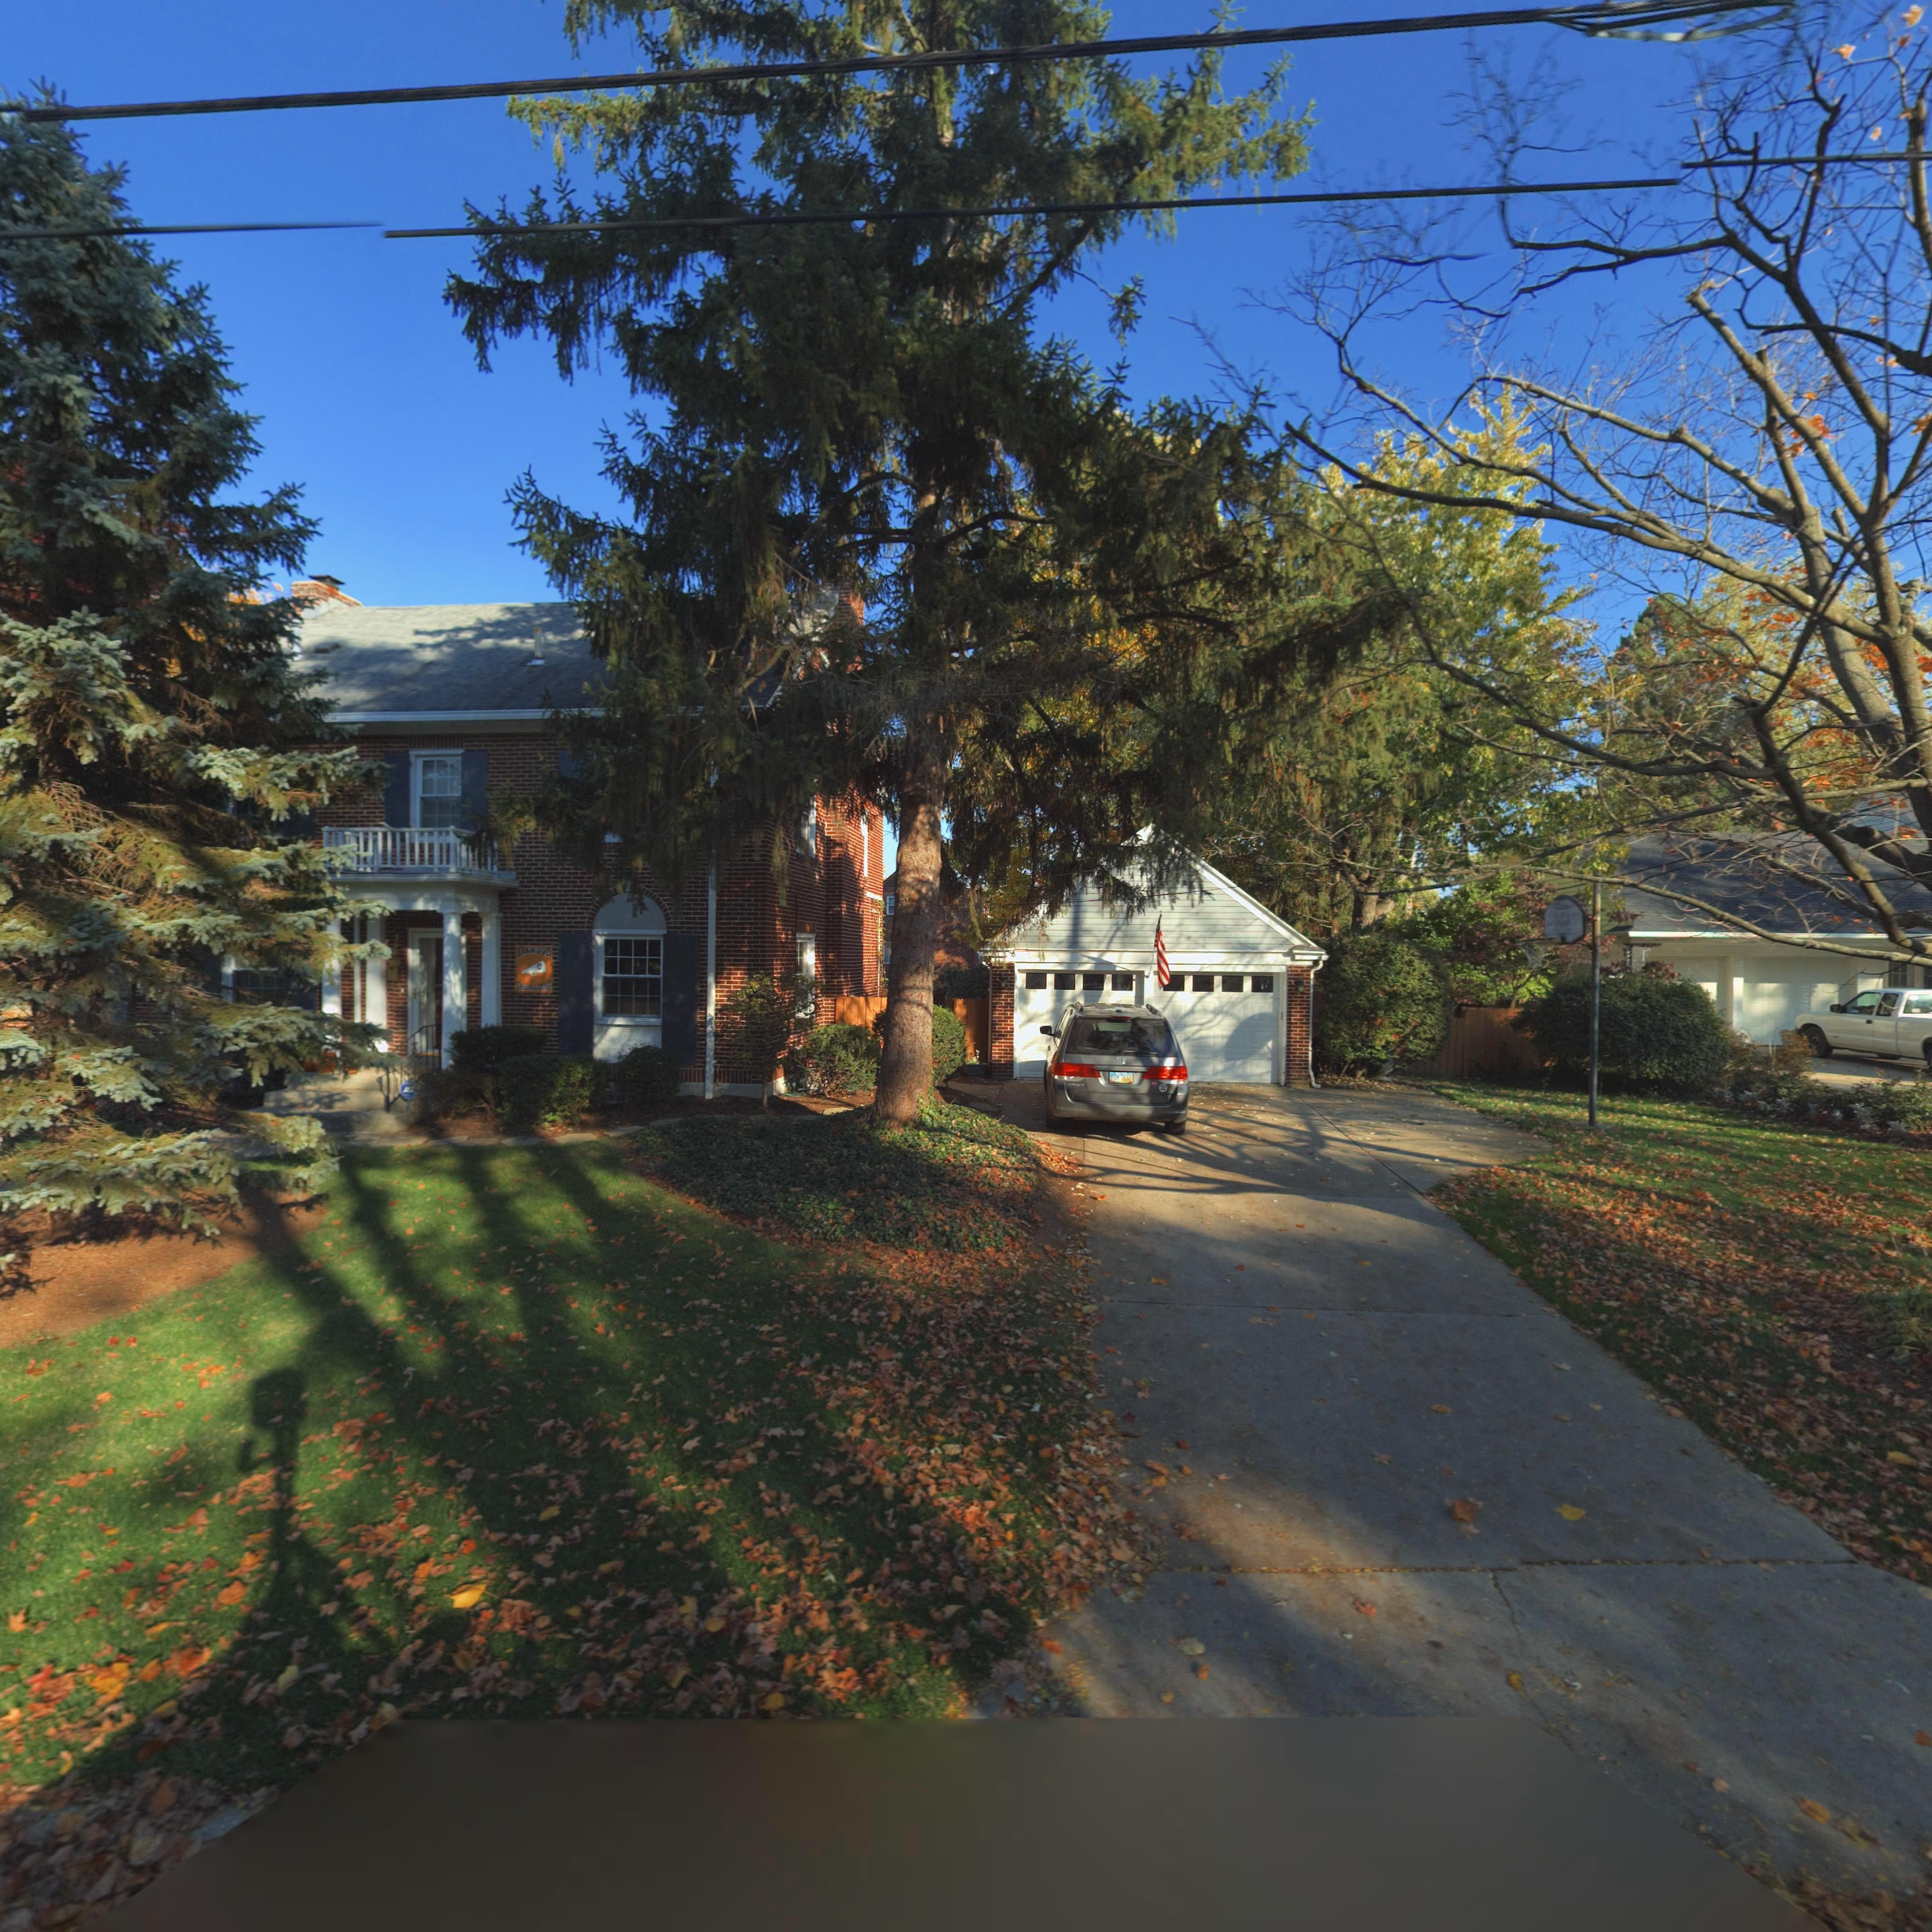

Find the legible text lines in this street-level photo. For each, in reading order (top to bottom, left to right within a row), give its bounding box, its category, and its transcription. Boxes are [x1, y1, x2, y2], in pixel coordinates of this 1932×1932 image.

[393, 933, 399, 955] StreetNumber: *00